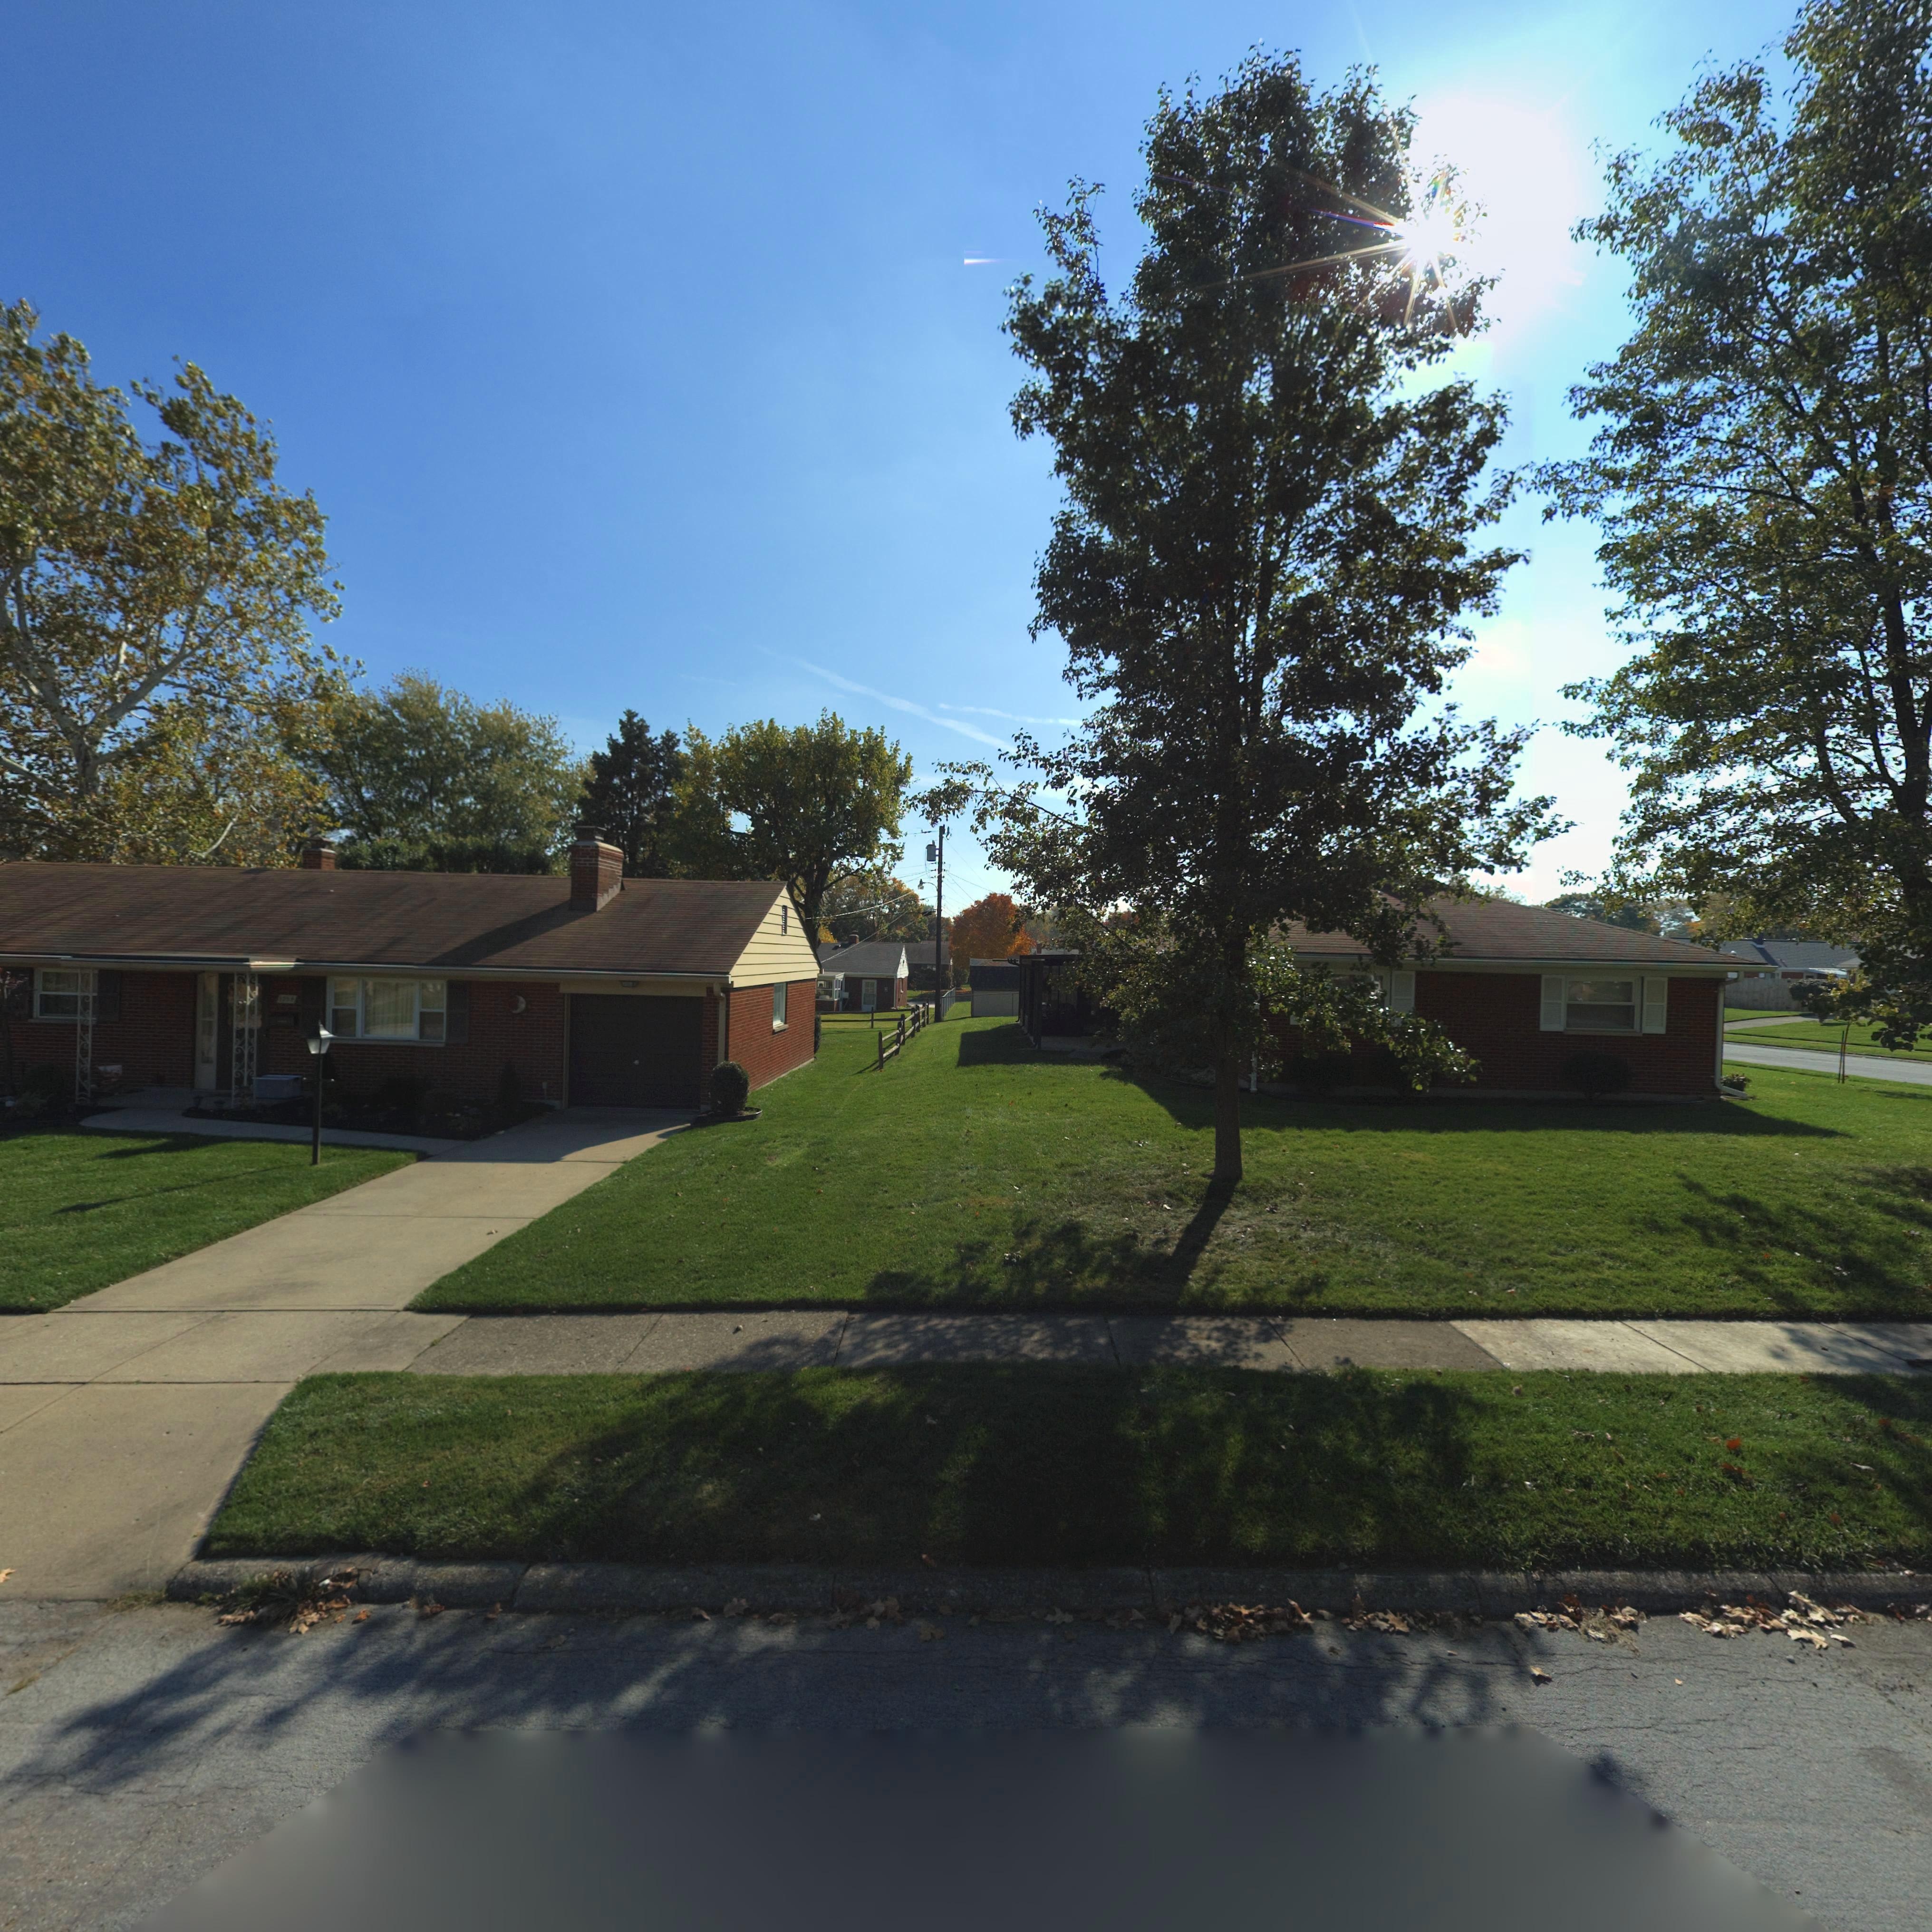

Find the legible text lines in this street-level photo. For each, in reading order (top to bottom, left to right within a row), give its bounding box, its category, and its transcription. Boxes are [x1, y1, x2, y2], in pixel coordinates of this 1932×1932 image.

[277, 996, 296, 1002] StreetNumber: 1054